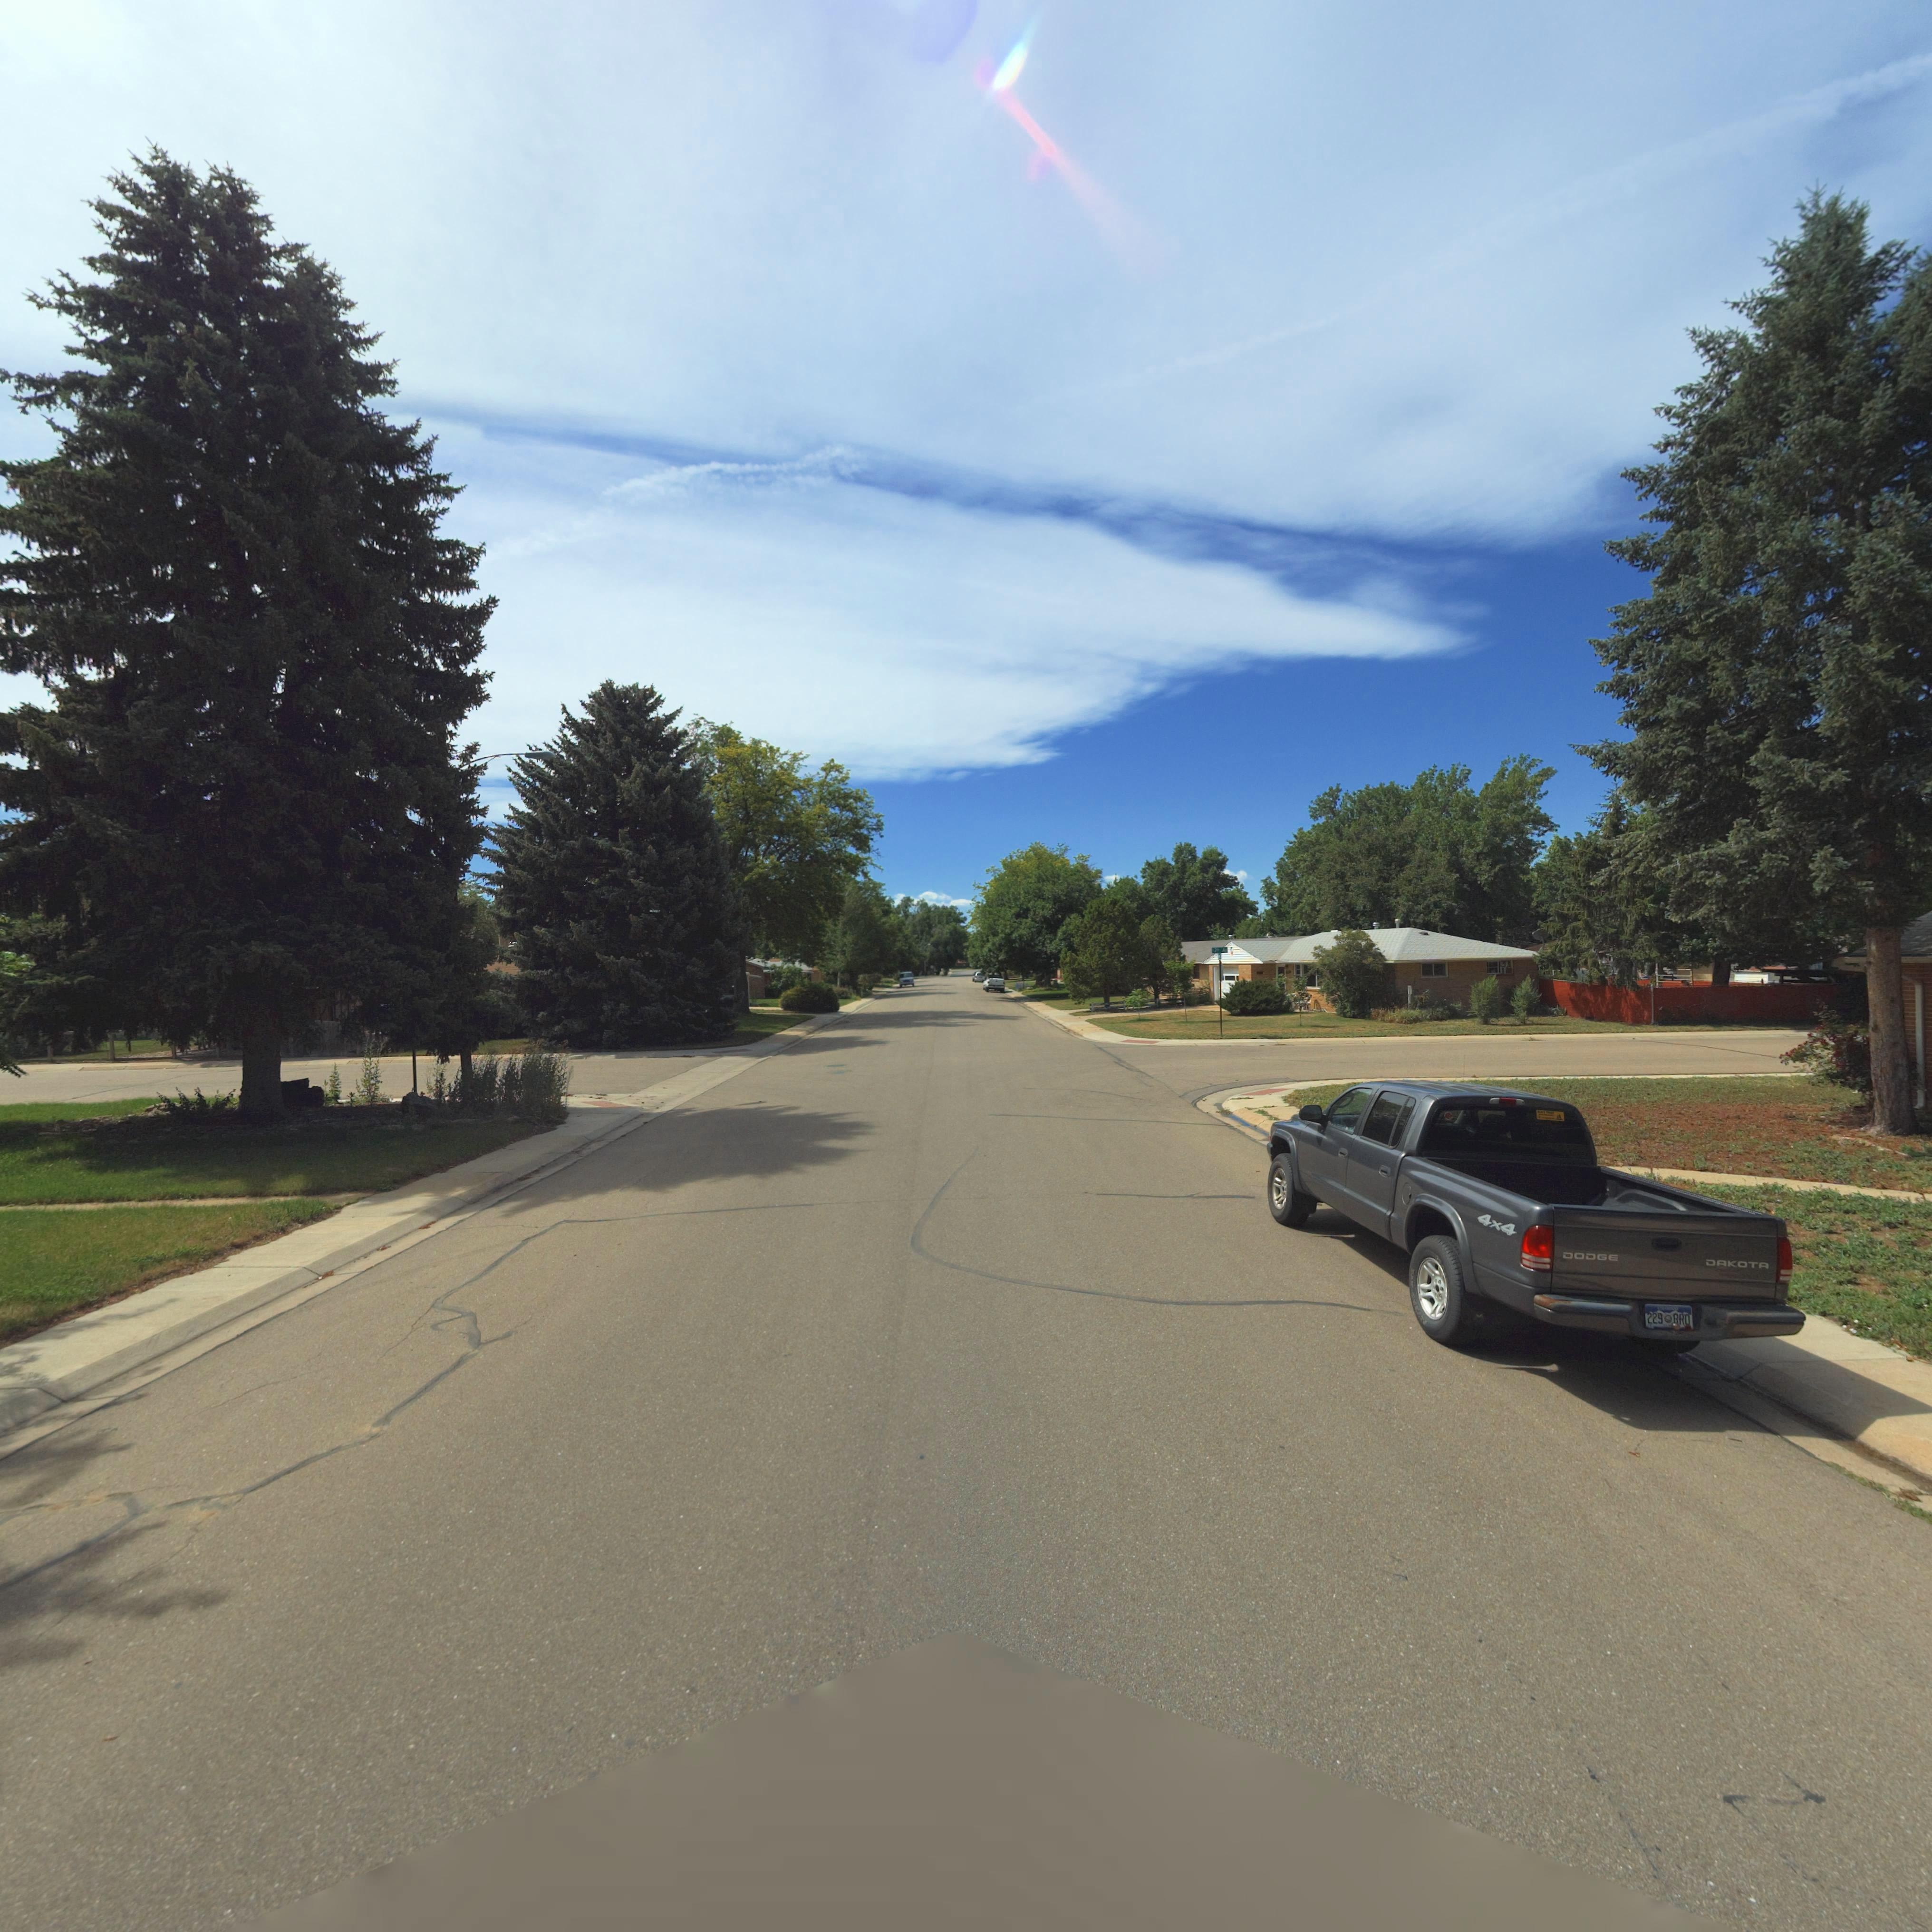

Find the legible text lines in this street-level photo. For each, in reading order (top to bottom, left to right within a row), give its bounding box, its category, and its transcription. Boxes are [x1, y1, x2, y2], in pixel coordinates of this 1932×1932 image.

[1212, 948, 1227, 952] StreetName: 12** **